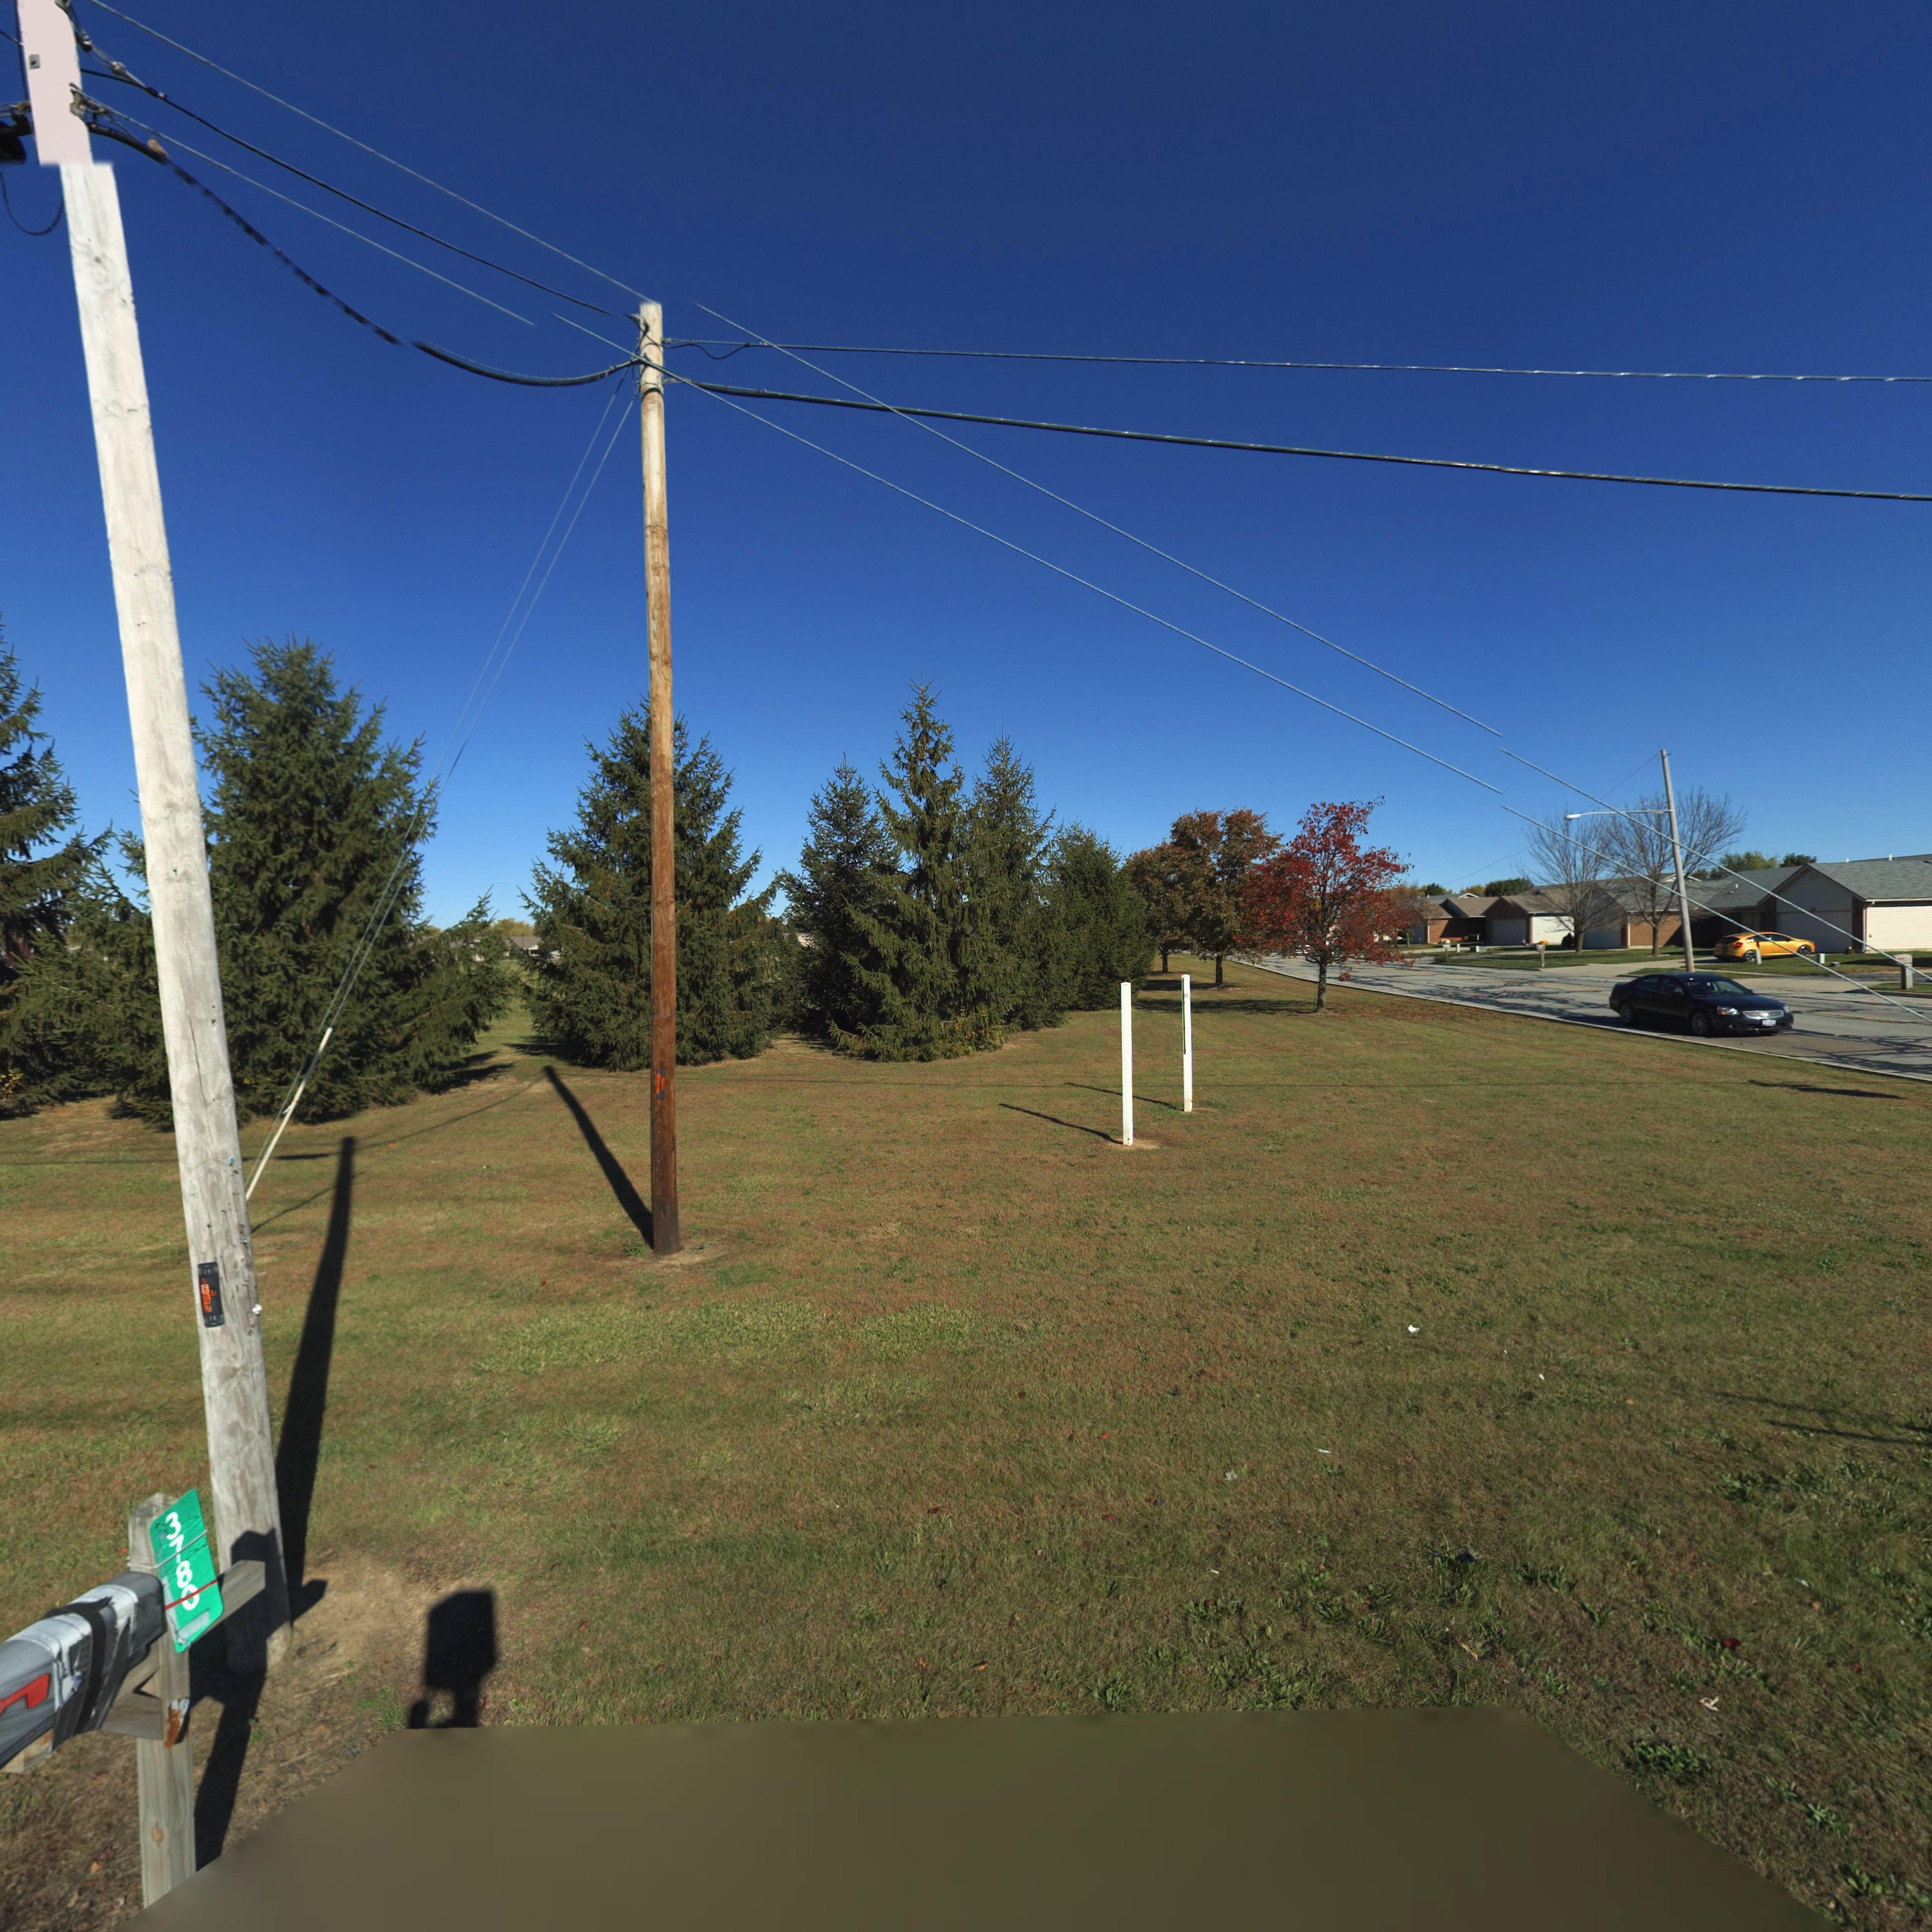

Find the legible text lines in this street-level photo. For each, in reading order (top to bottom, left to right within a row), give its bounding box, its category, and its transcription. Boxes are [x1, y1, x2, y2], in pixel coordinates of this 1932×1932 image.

[160, 1507, 203, 1615] StreetNumber: 3780